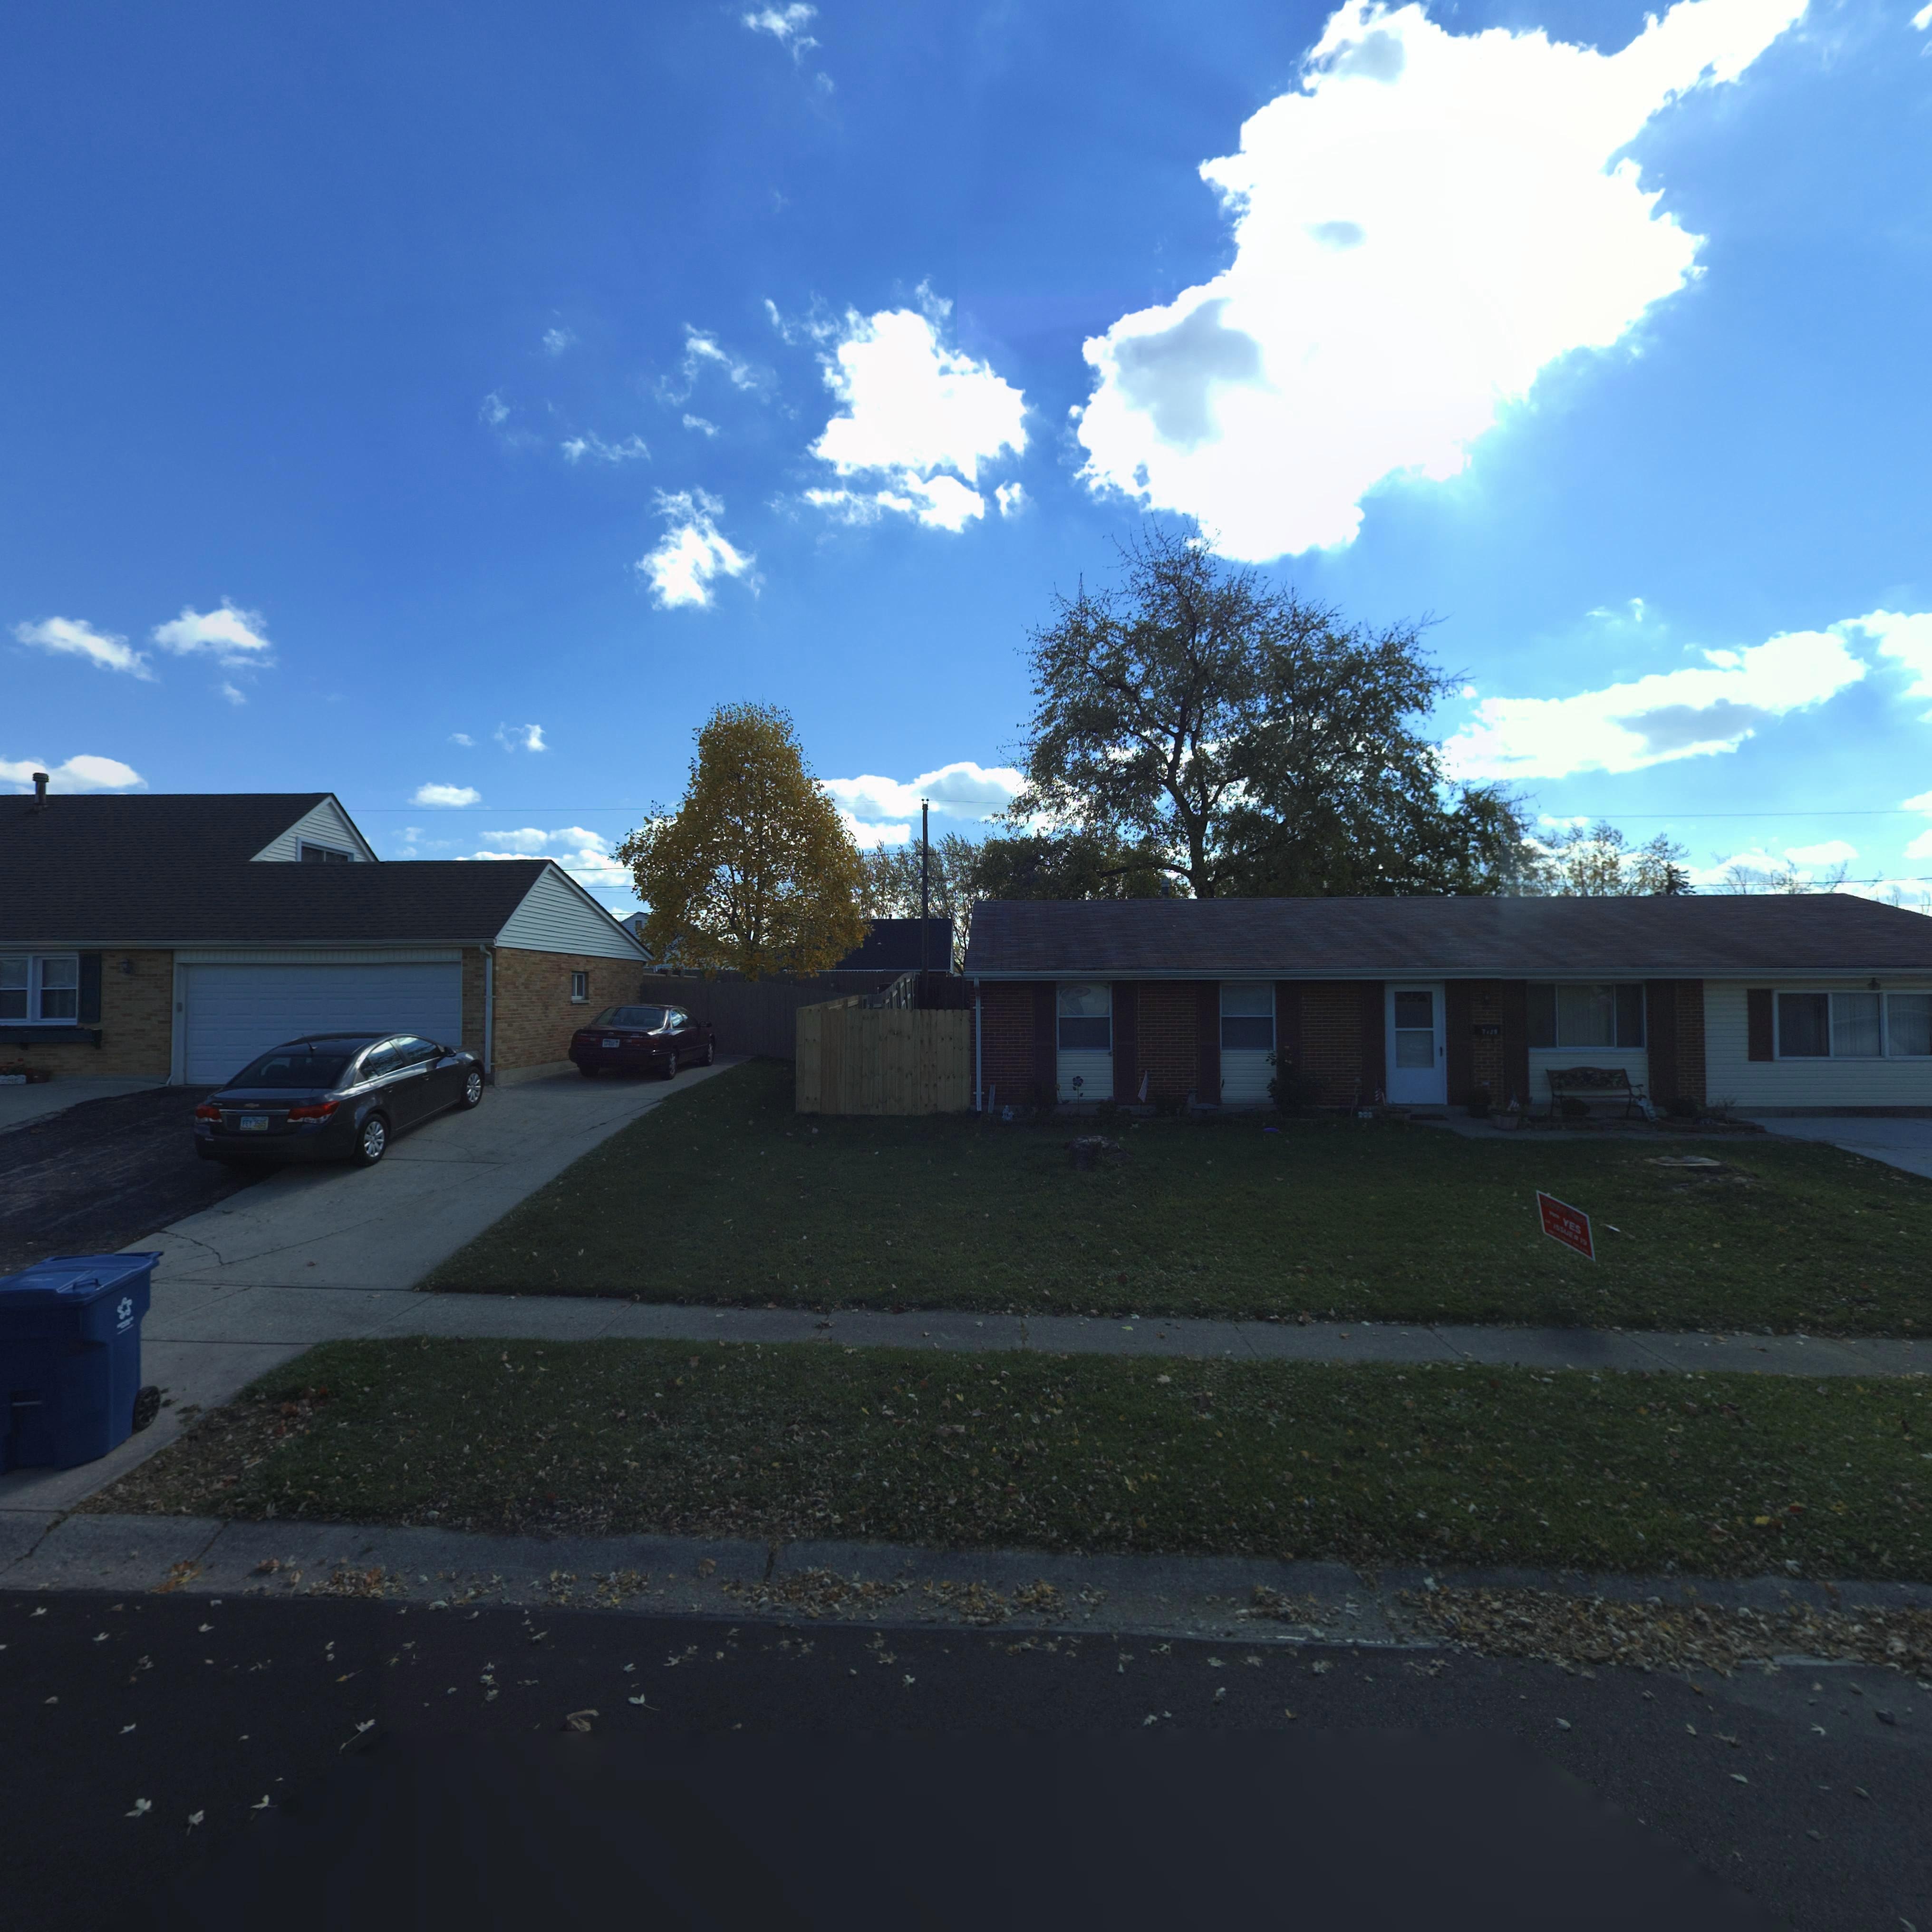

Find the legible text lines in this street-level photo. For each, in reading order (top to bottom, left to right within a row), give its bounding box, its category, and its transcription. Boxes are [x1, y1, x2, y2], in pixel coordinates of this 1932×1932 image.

[1481, 1028, 1498, 1035] StreetNumber: 7*2*